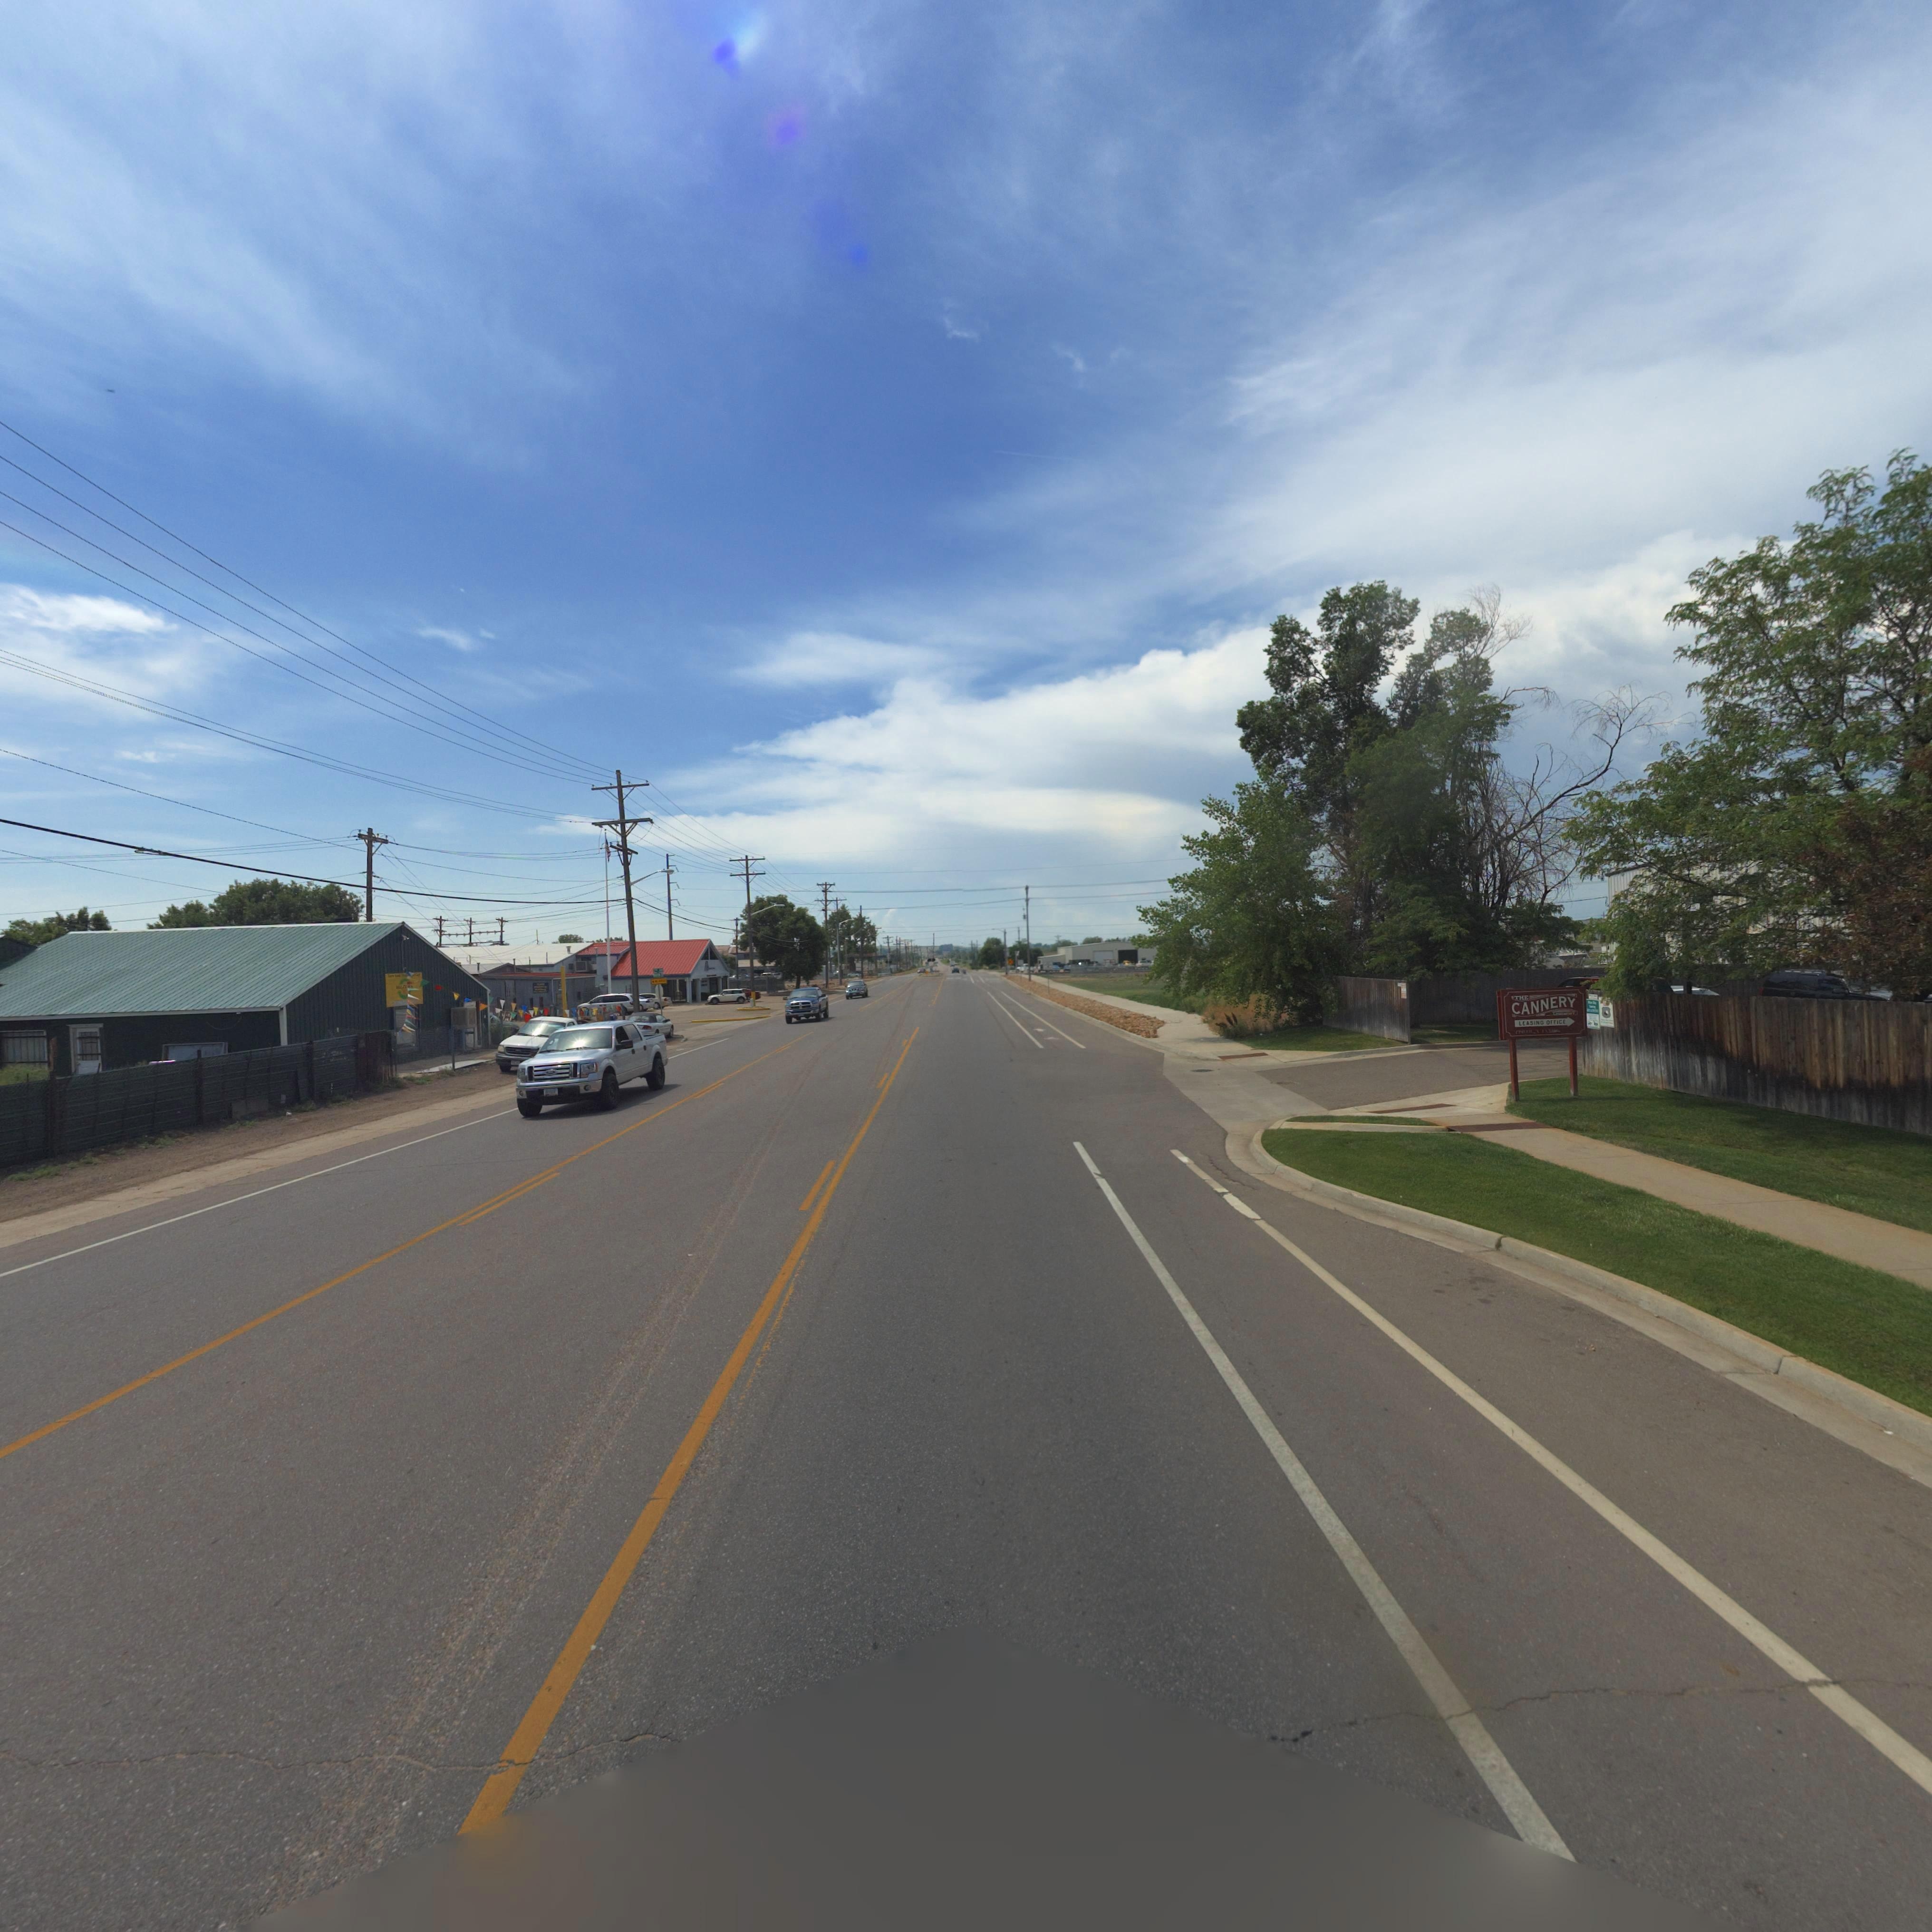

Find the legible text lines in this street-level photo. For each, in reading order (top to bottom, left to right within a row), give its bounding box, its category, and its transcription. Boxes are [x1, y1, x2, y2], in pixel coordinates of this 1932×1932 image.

[1510, 995, 1577, 1016] BusinessName: CANNERY